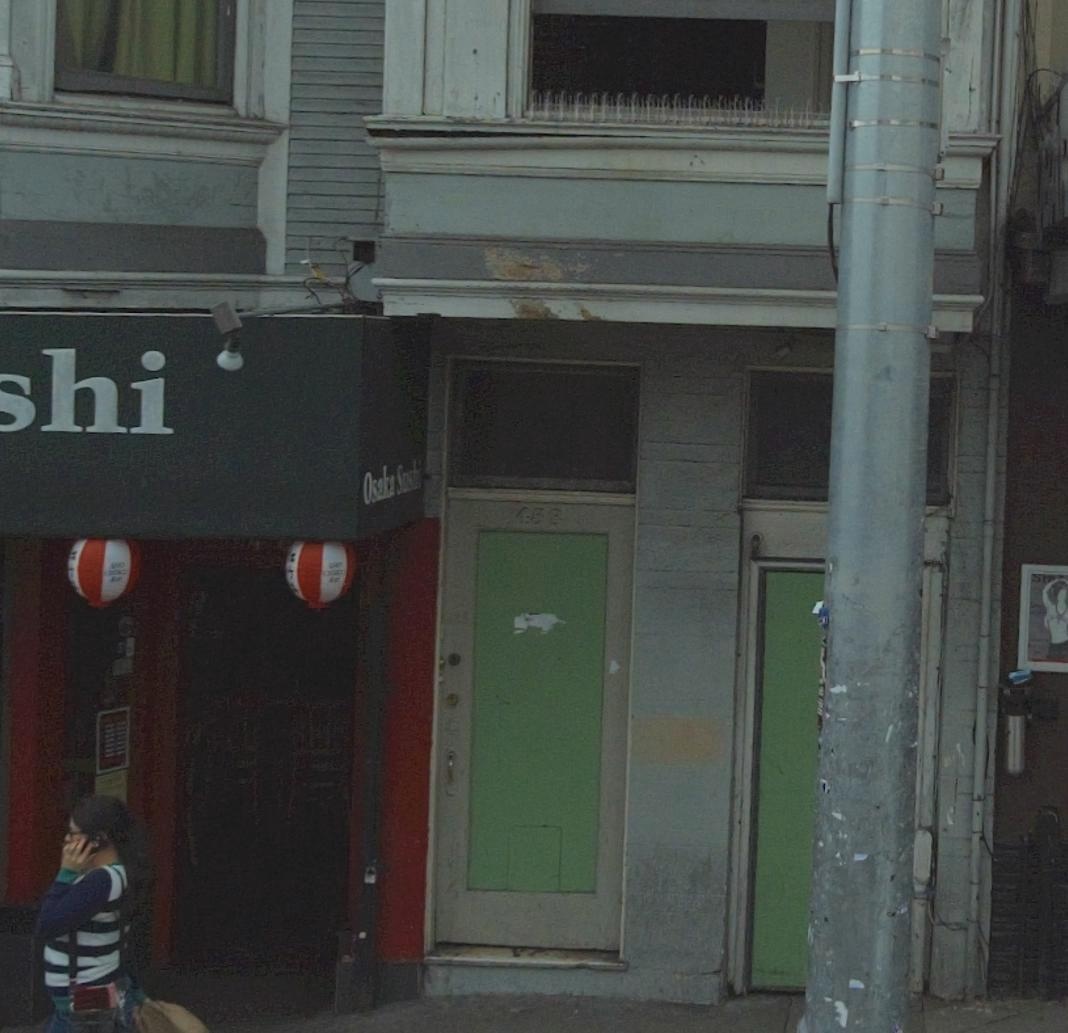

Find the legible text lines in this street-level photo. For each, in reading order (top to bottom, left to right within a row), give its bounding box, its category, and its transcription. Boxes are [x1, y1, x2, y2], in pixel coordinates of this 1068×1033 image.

[39, 346, 176, 436] BusinessName: hi
[361, 455, 424, 509] BusinessName: Osaka Sushi
[513, 505, 562, 525] StreetNumber: 458